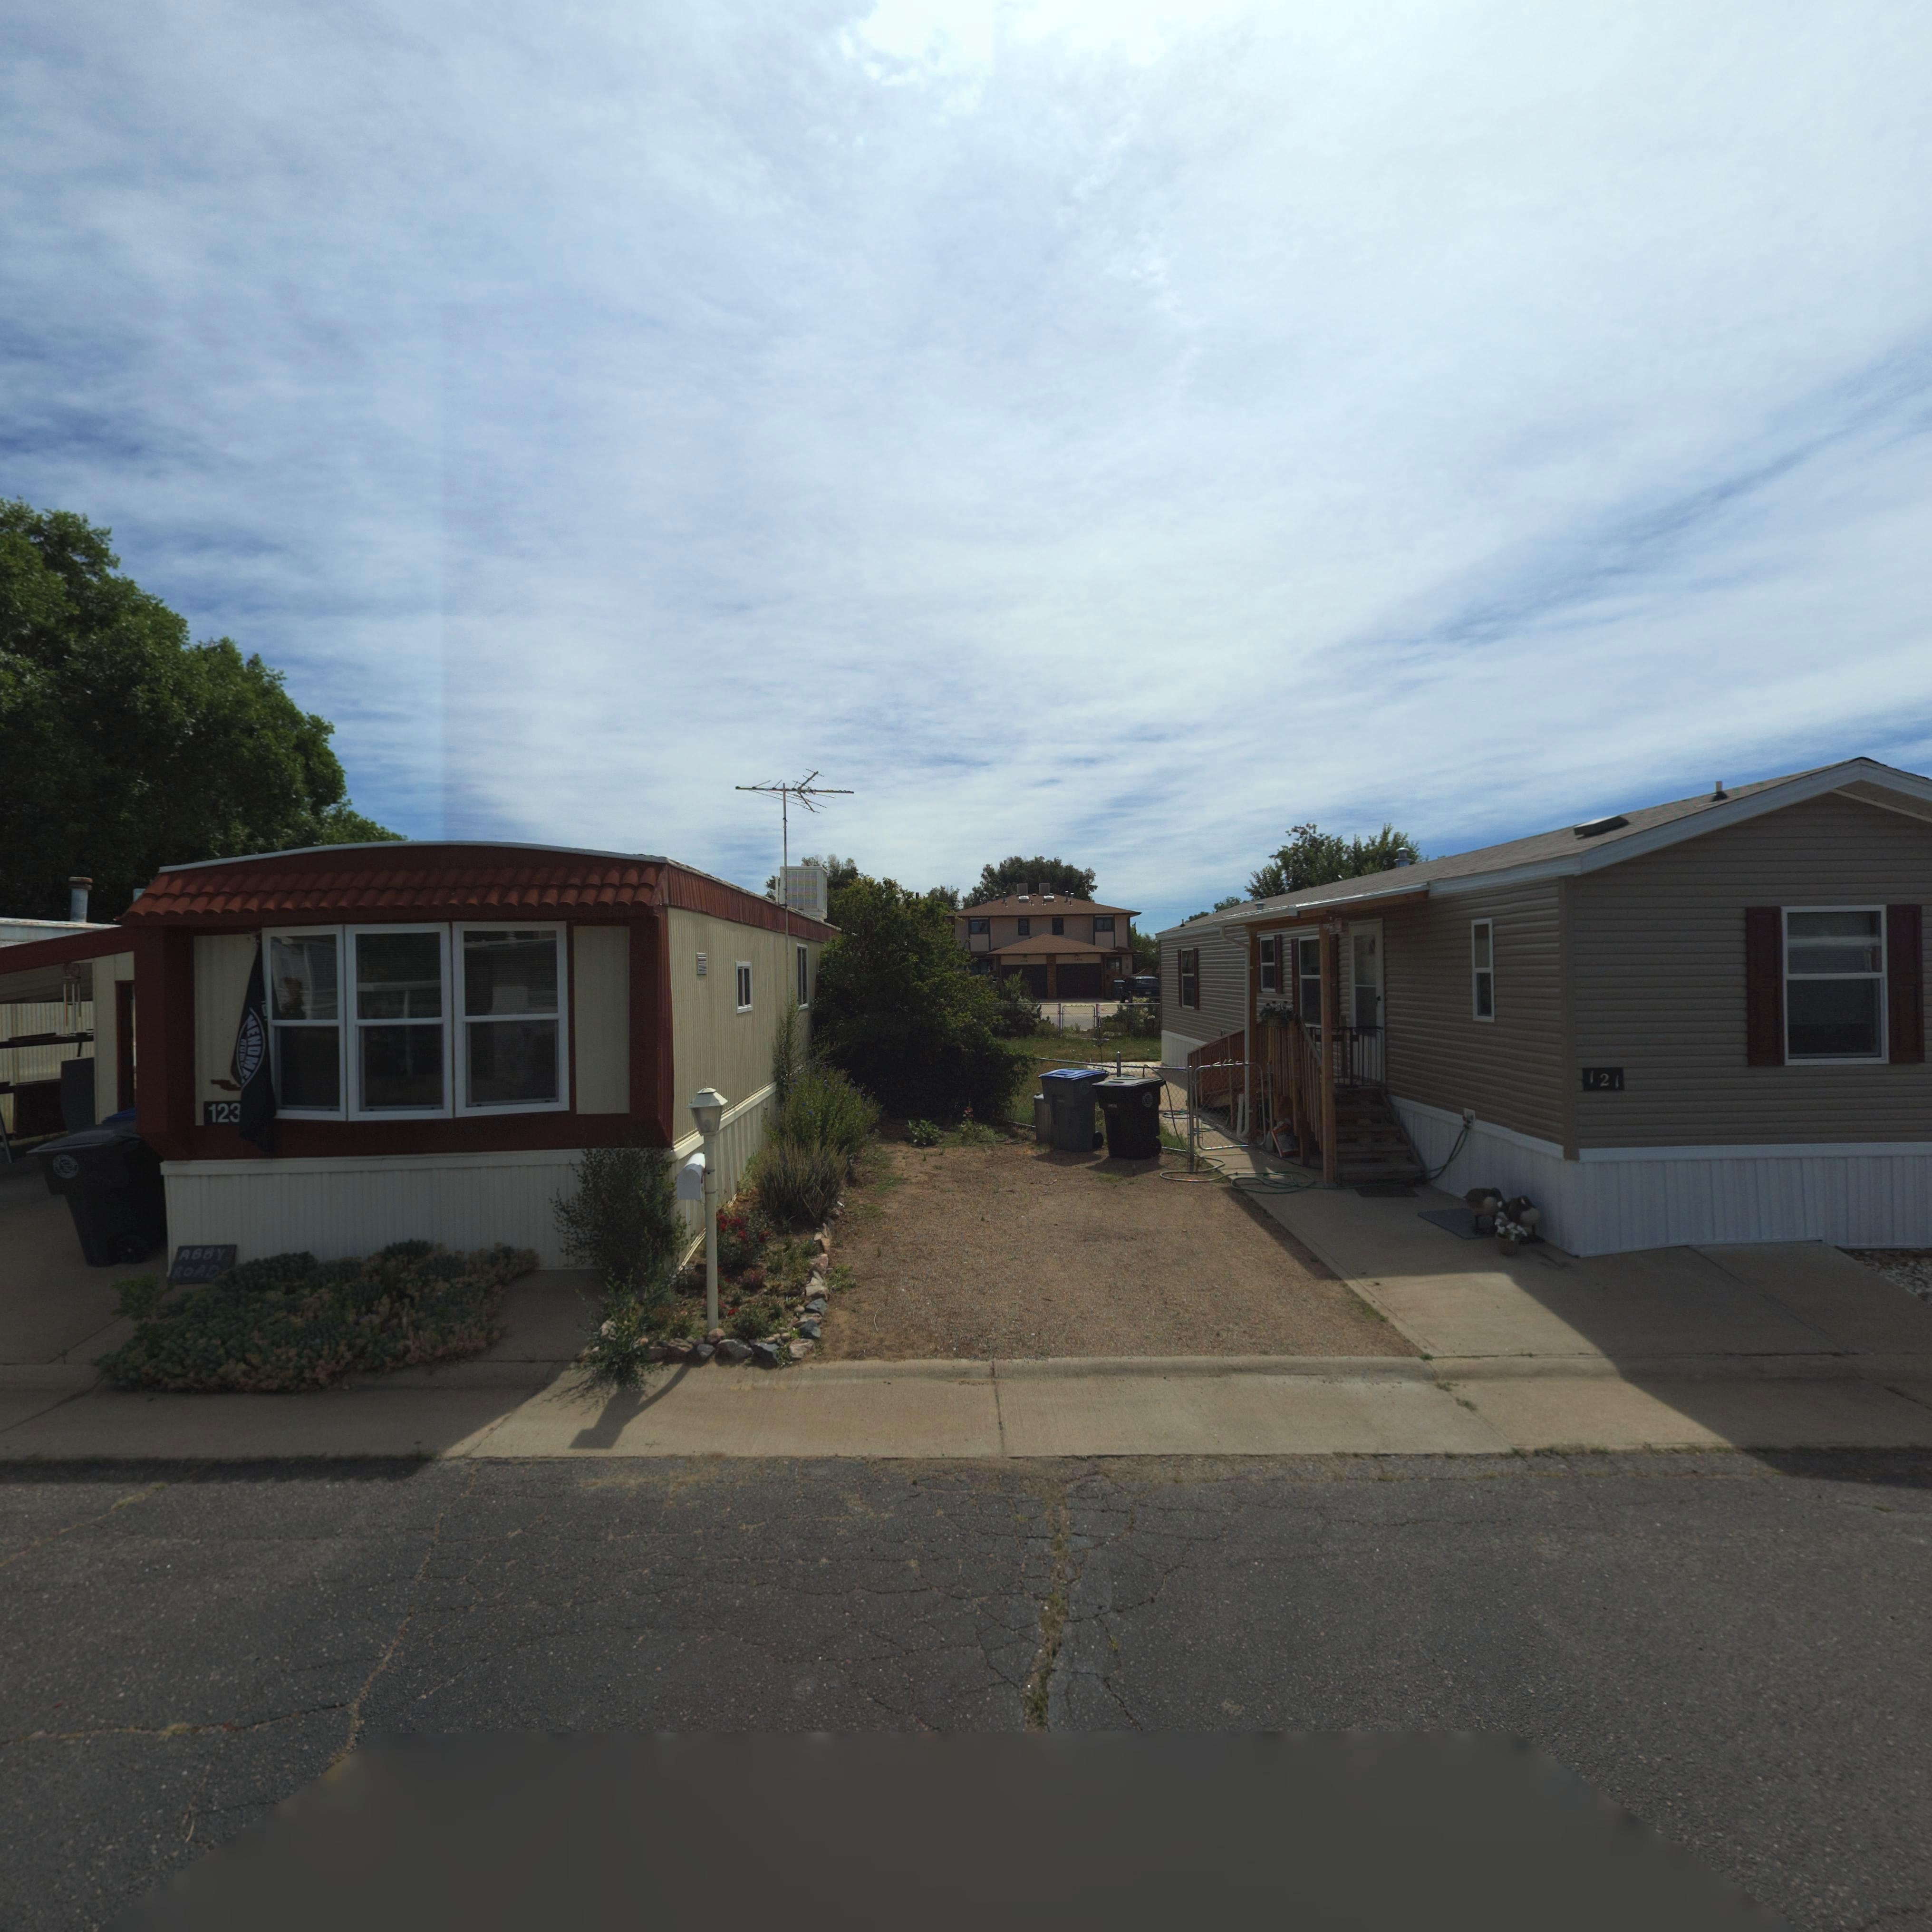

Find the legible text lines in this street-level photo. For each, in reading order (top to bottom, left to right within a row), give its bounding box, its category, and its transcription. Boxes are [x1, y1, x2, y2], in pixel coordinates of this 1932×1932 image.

[1588, 1069, 1621, 1090] StreetNumber: 121
[205, 1102, 242, 1124] StreetNumber: 123